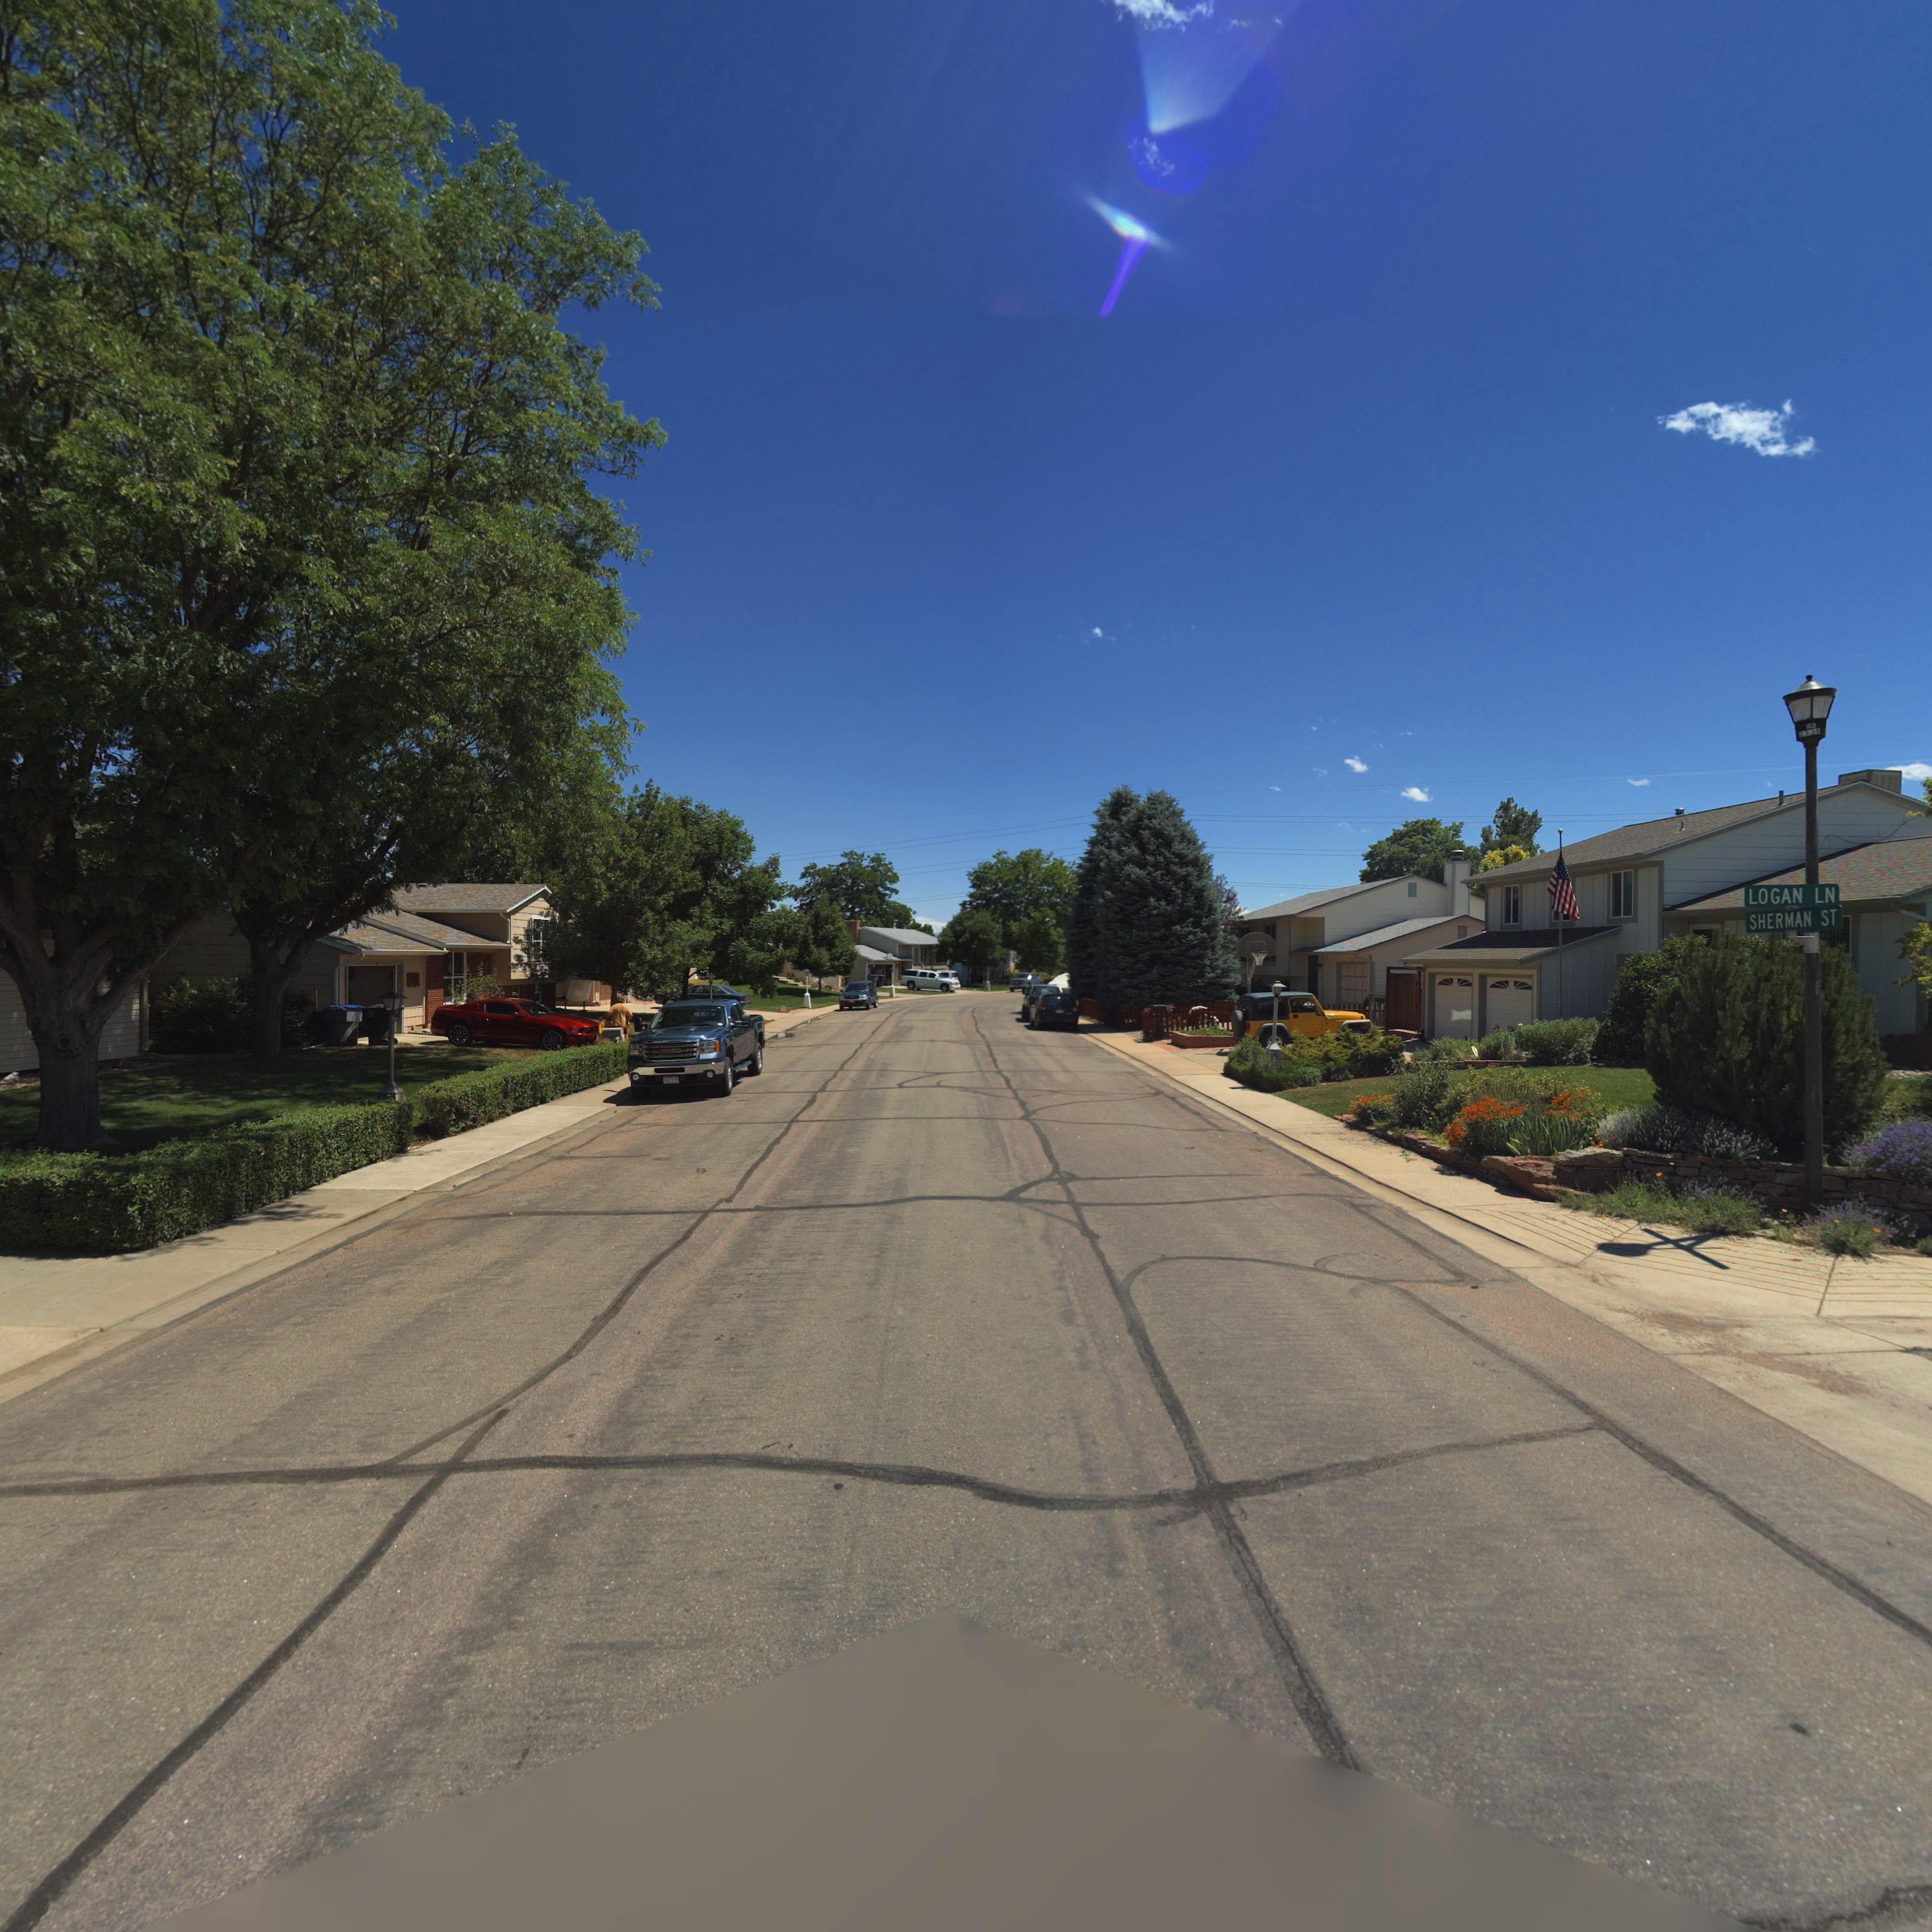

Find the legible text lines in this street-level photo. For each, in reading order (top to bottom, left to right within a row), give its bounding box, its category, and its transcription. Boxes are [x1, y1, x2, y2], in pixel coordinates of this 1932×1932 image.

[1748, 886, 1835, 905] StreetName: LOGAN LN
[1749, 908, 1838, 930] StreetName: SHERMAN ST